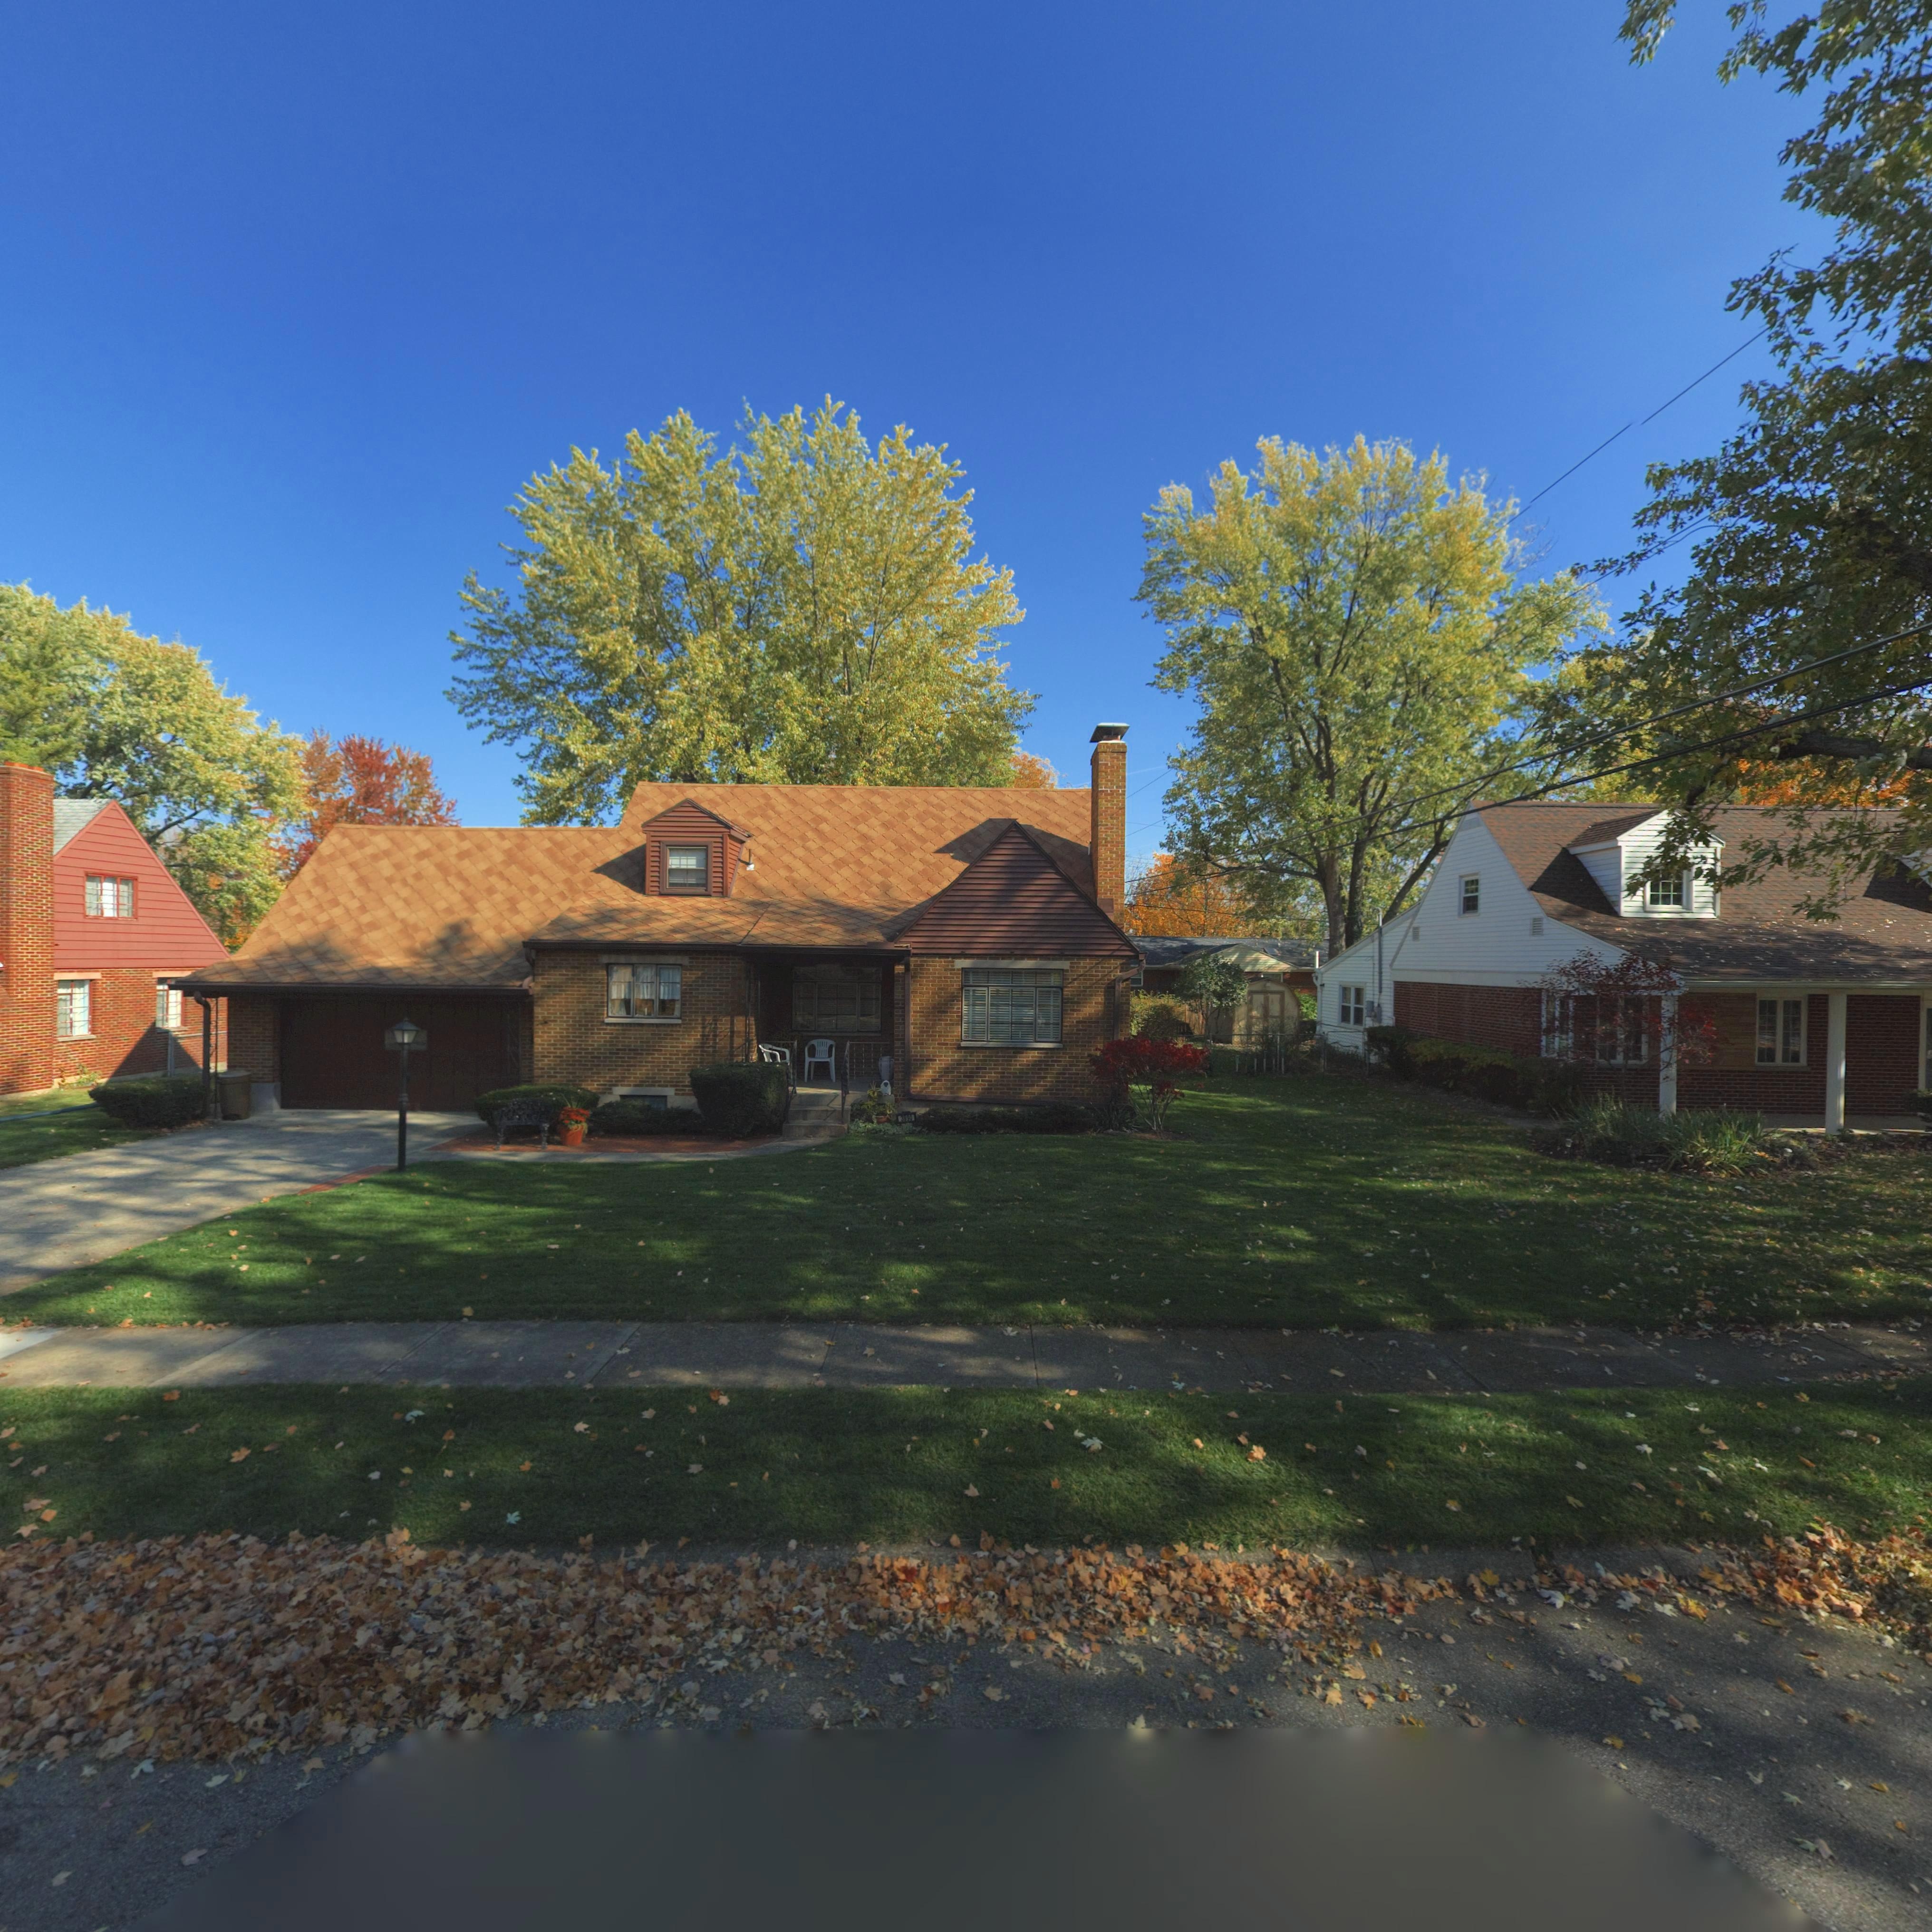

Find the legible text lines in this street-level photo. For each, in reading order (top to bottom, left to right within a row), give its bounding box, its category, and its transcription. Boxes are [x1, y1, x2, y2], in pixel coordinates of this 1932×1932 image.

[900, 1114, 913, 1122] StreetNumber: 3890